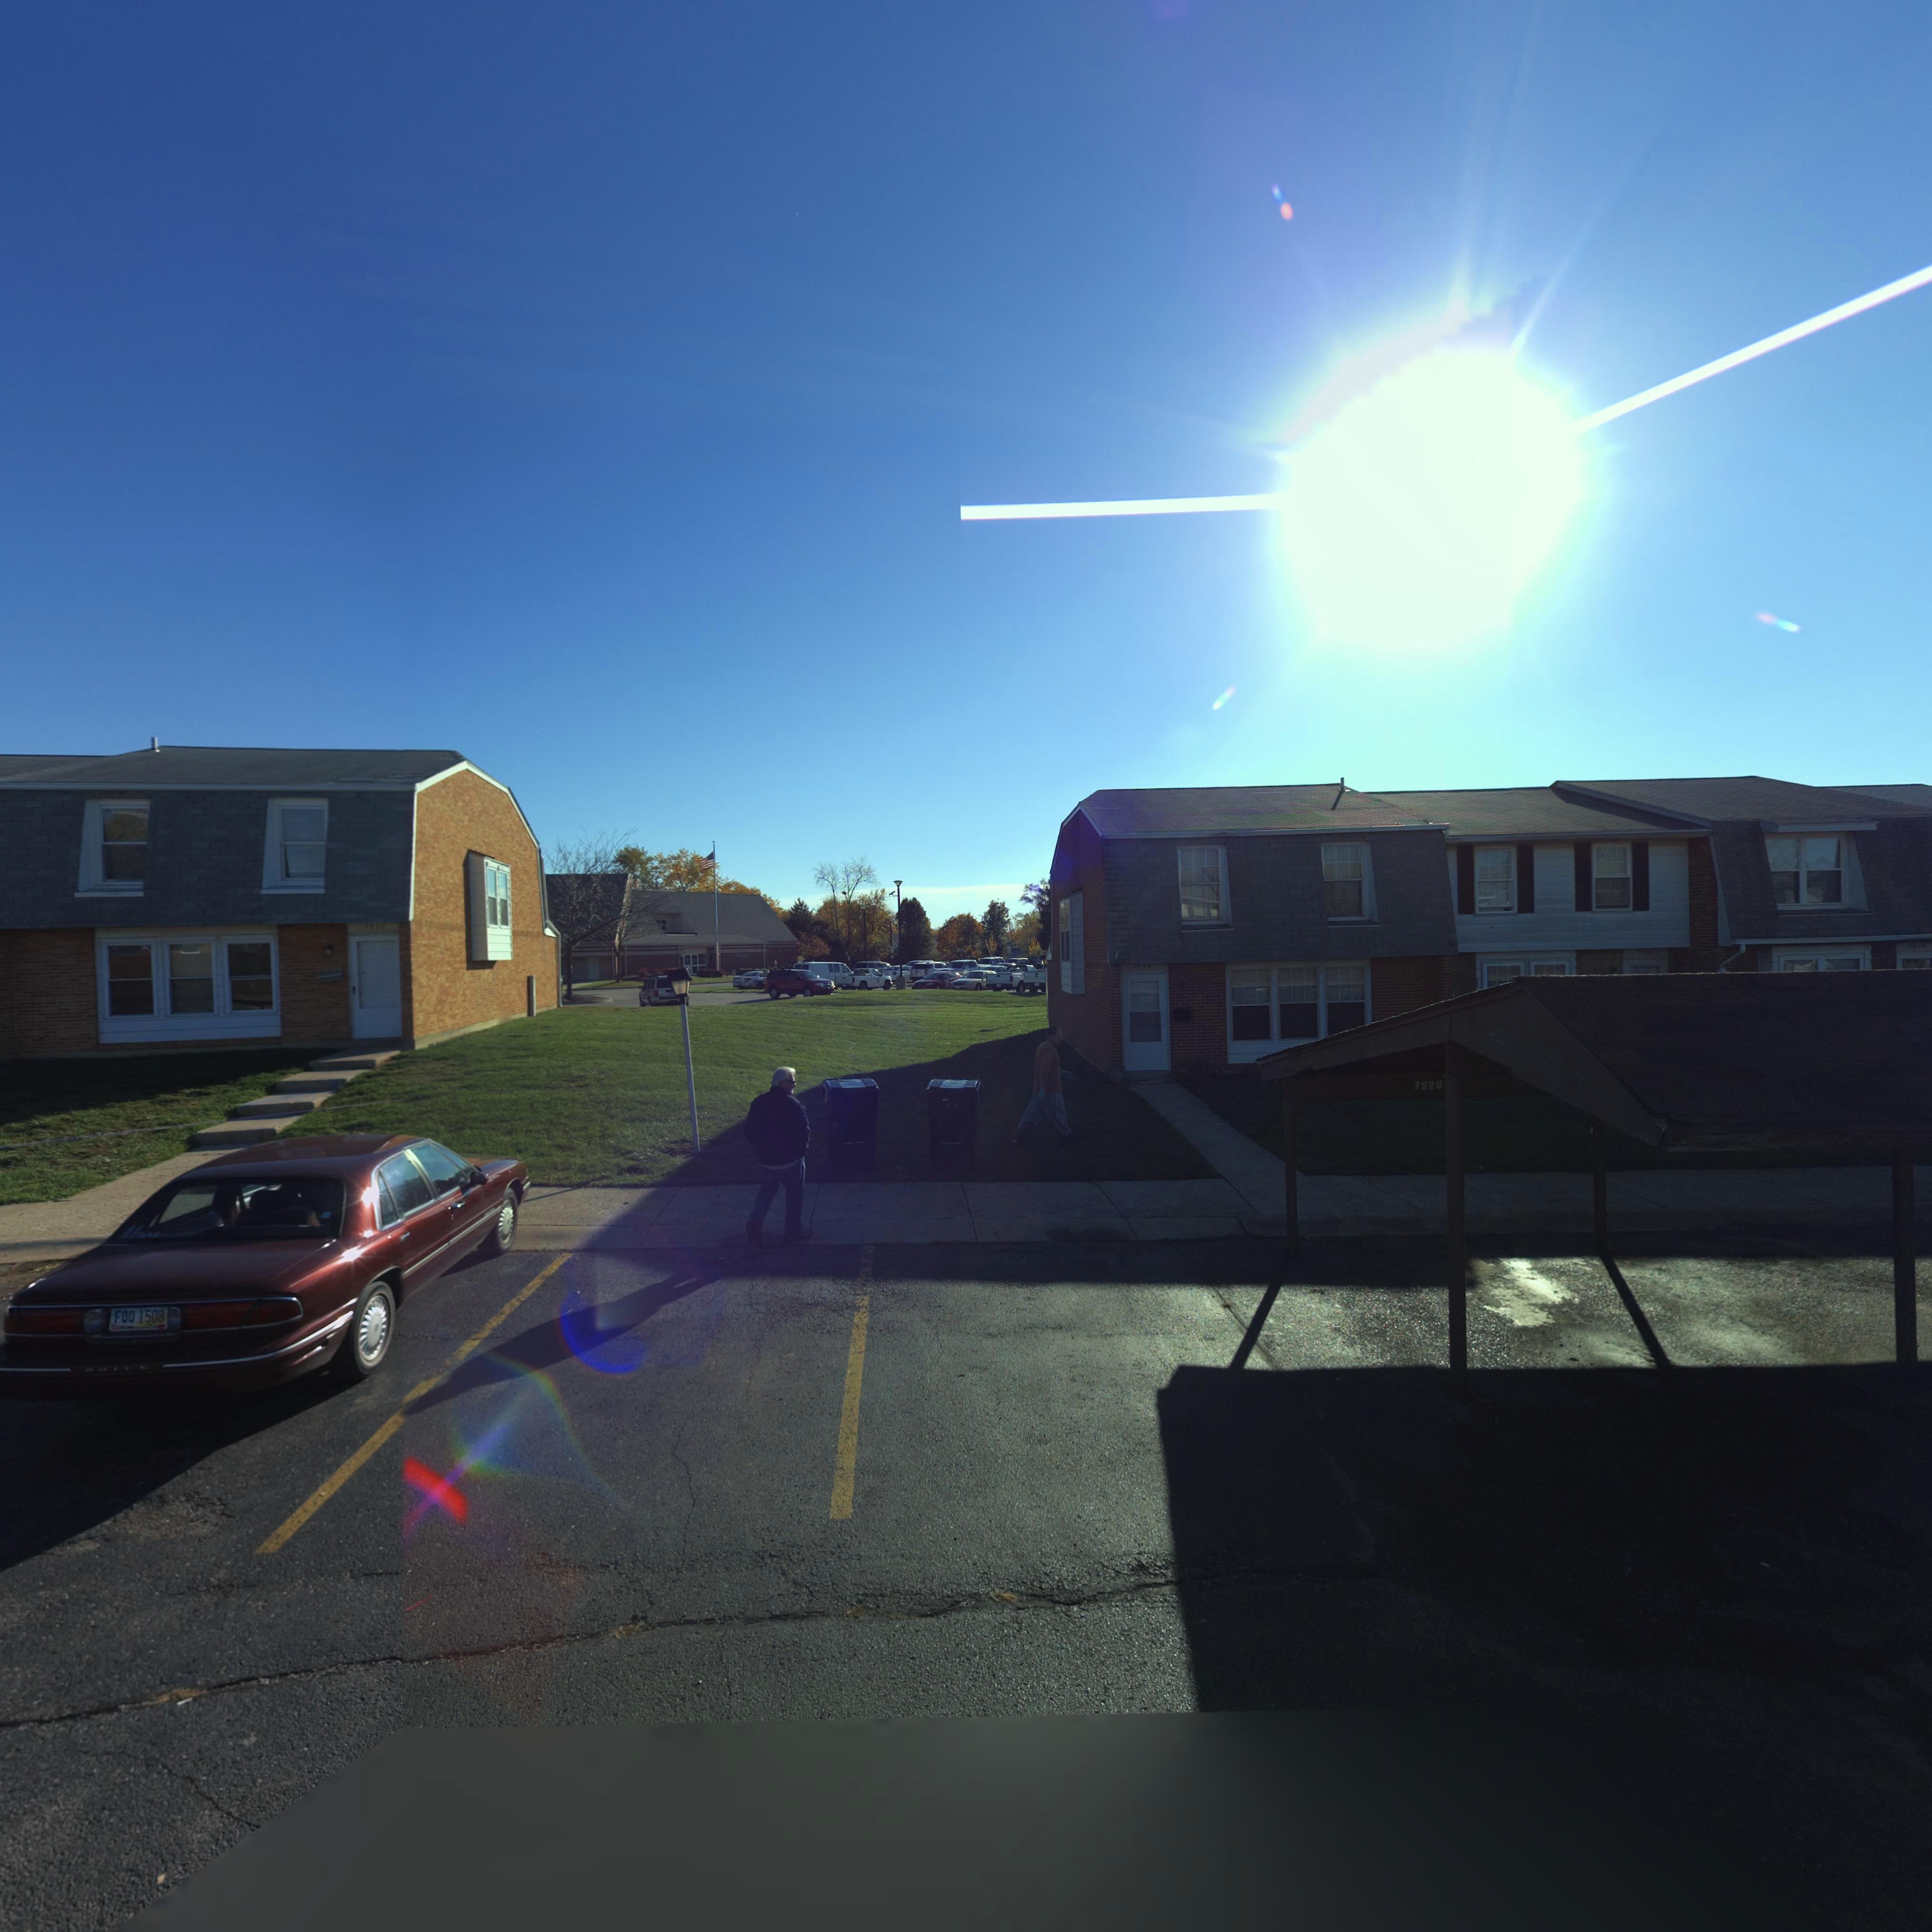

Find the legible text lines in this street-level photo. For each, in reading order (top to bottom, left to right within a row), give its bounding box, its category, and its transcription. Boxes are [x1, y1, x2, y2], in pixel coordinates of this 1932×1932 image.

[364, 922, 386, 930] StreetNumber: 7532
[1908, 943, 1926, 949] StreetNumber: 752*
[1635, 947, 1653, 954] StreetNumber: 75*6
[1132, 963, 1151, 969] StreetNumber: 7528
[1413, 1080, 1442, 1091] StreetNumber: 7528